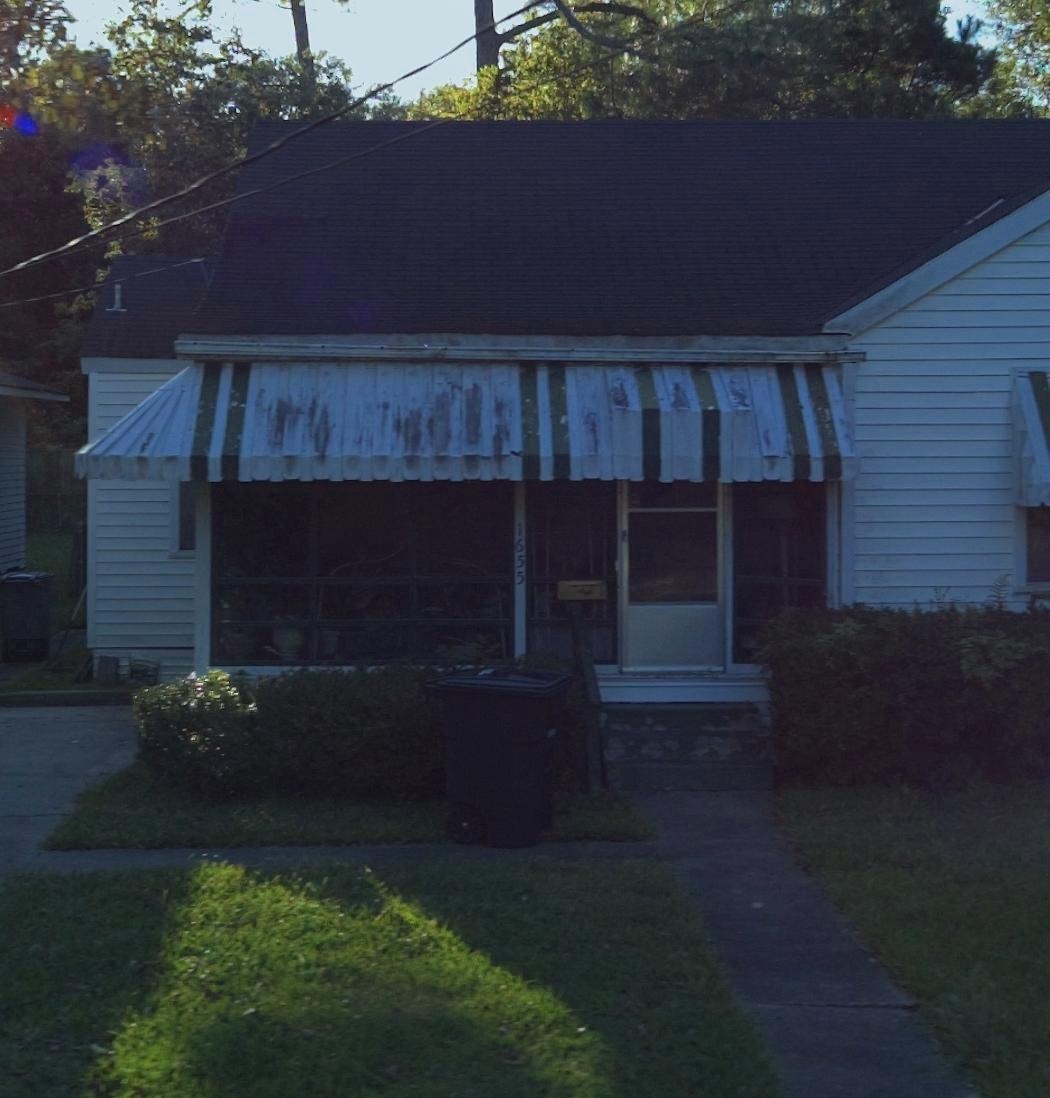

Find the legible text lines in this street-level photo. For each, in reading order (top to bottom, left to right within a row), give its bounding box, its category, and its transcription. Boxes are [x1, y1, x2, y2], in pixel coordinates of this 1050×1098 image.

[513, 520, 527, 587] StreetNumber: 1655